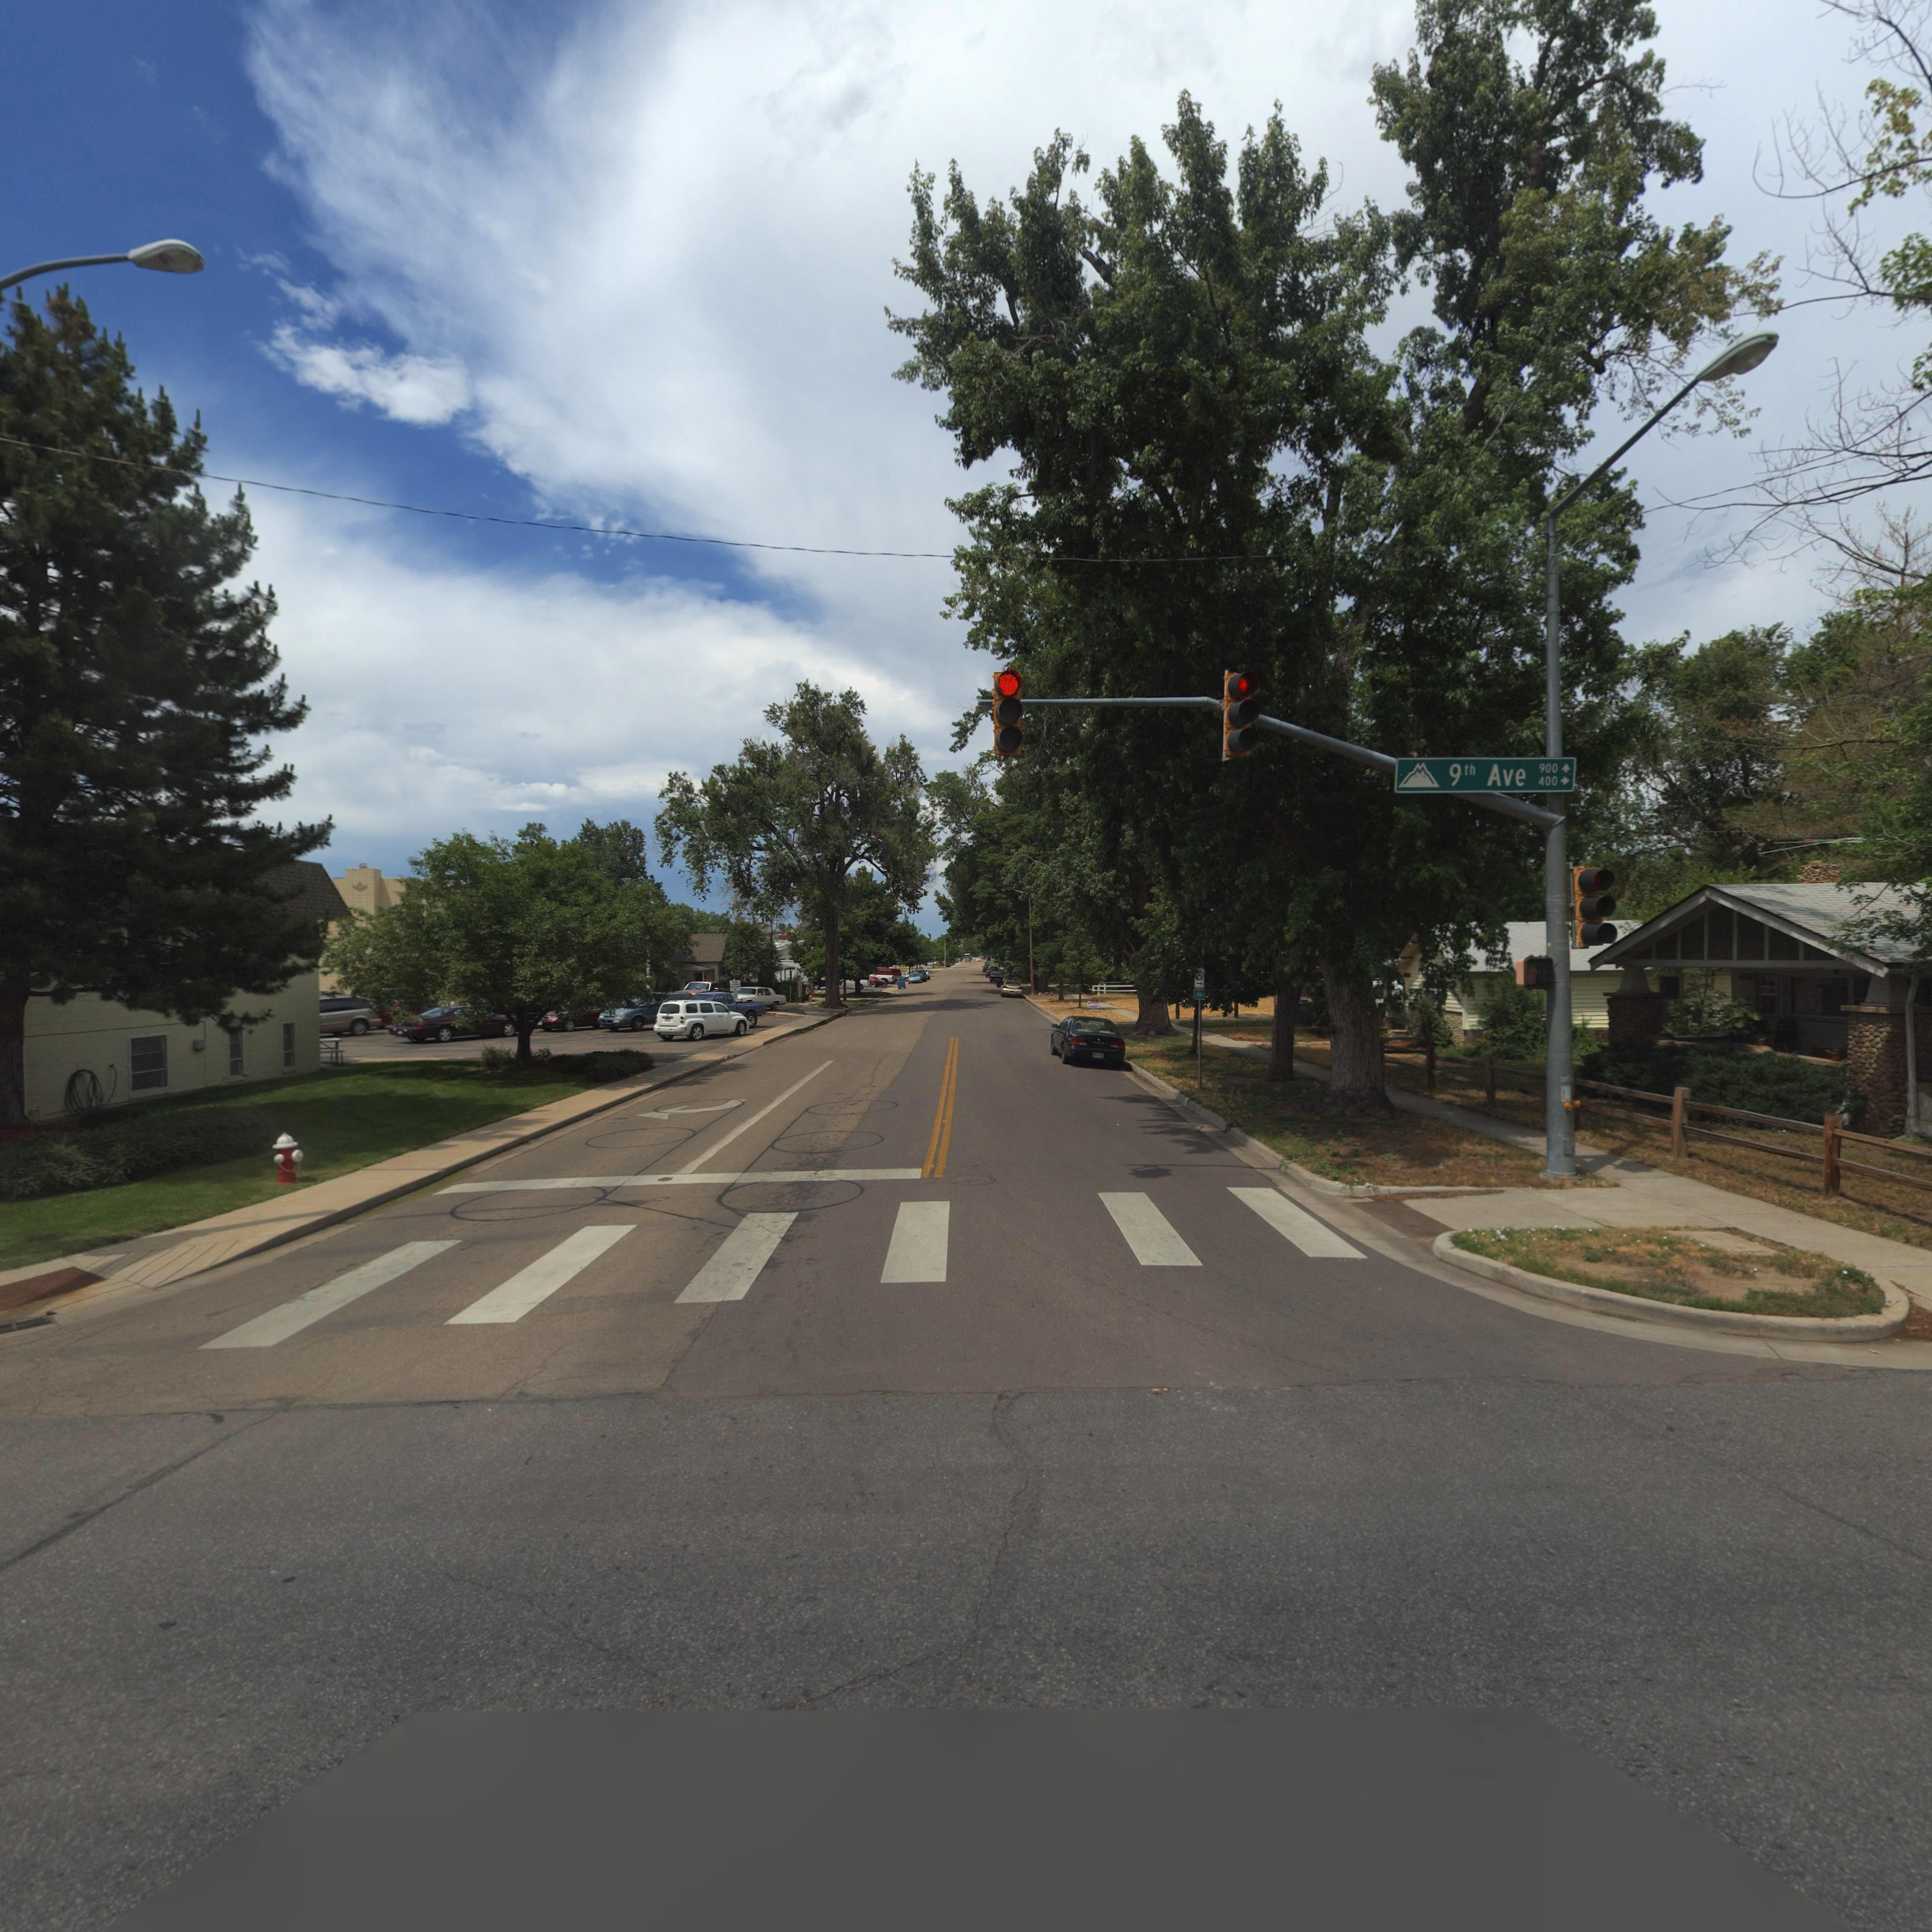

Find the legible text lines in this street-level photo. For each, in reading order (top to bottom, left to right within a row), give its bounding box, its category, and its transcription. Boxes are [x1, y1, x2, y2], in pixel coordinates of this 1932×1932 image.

[1538, 763, 1558, 773] StreetNumberRange: 900
[1449, 763, 1526, 787] StreetName: 9th Ave
[1538, 776, 1570, 786] StreetNumberRange: 400->